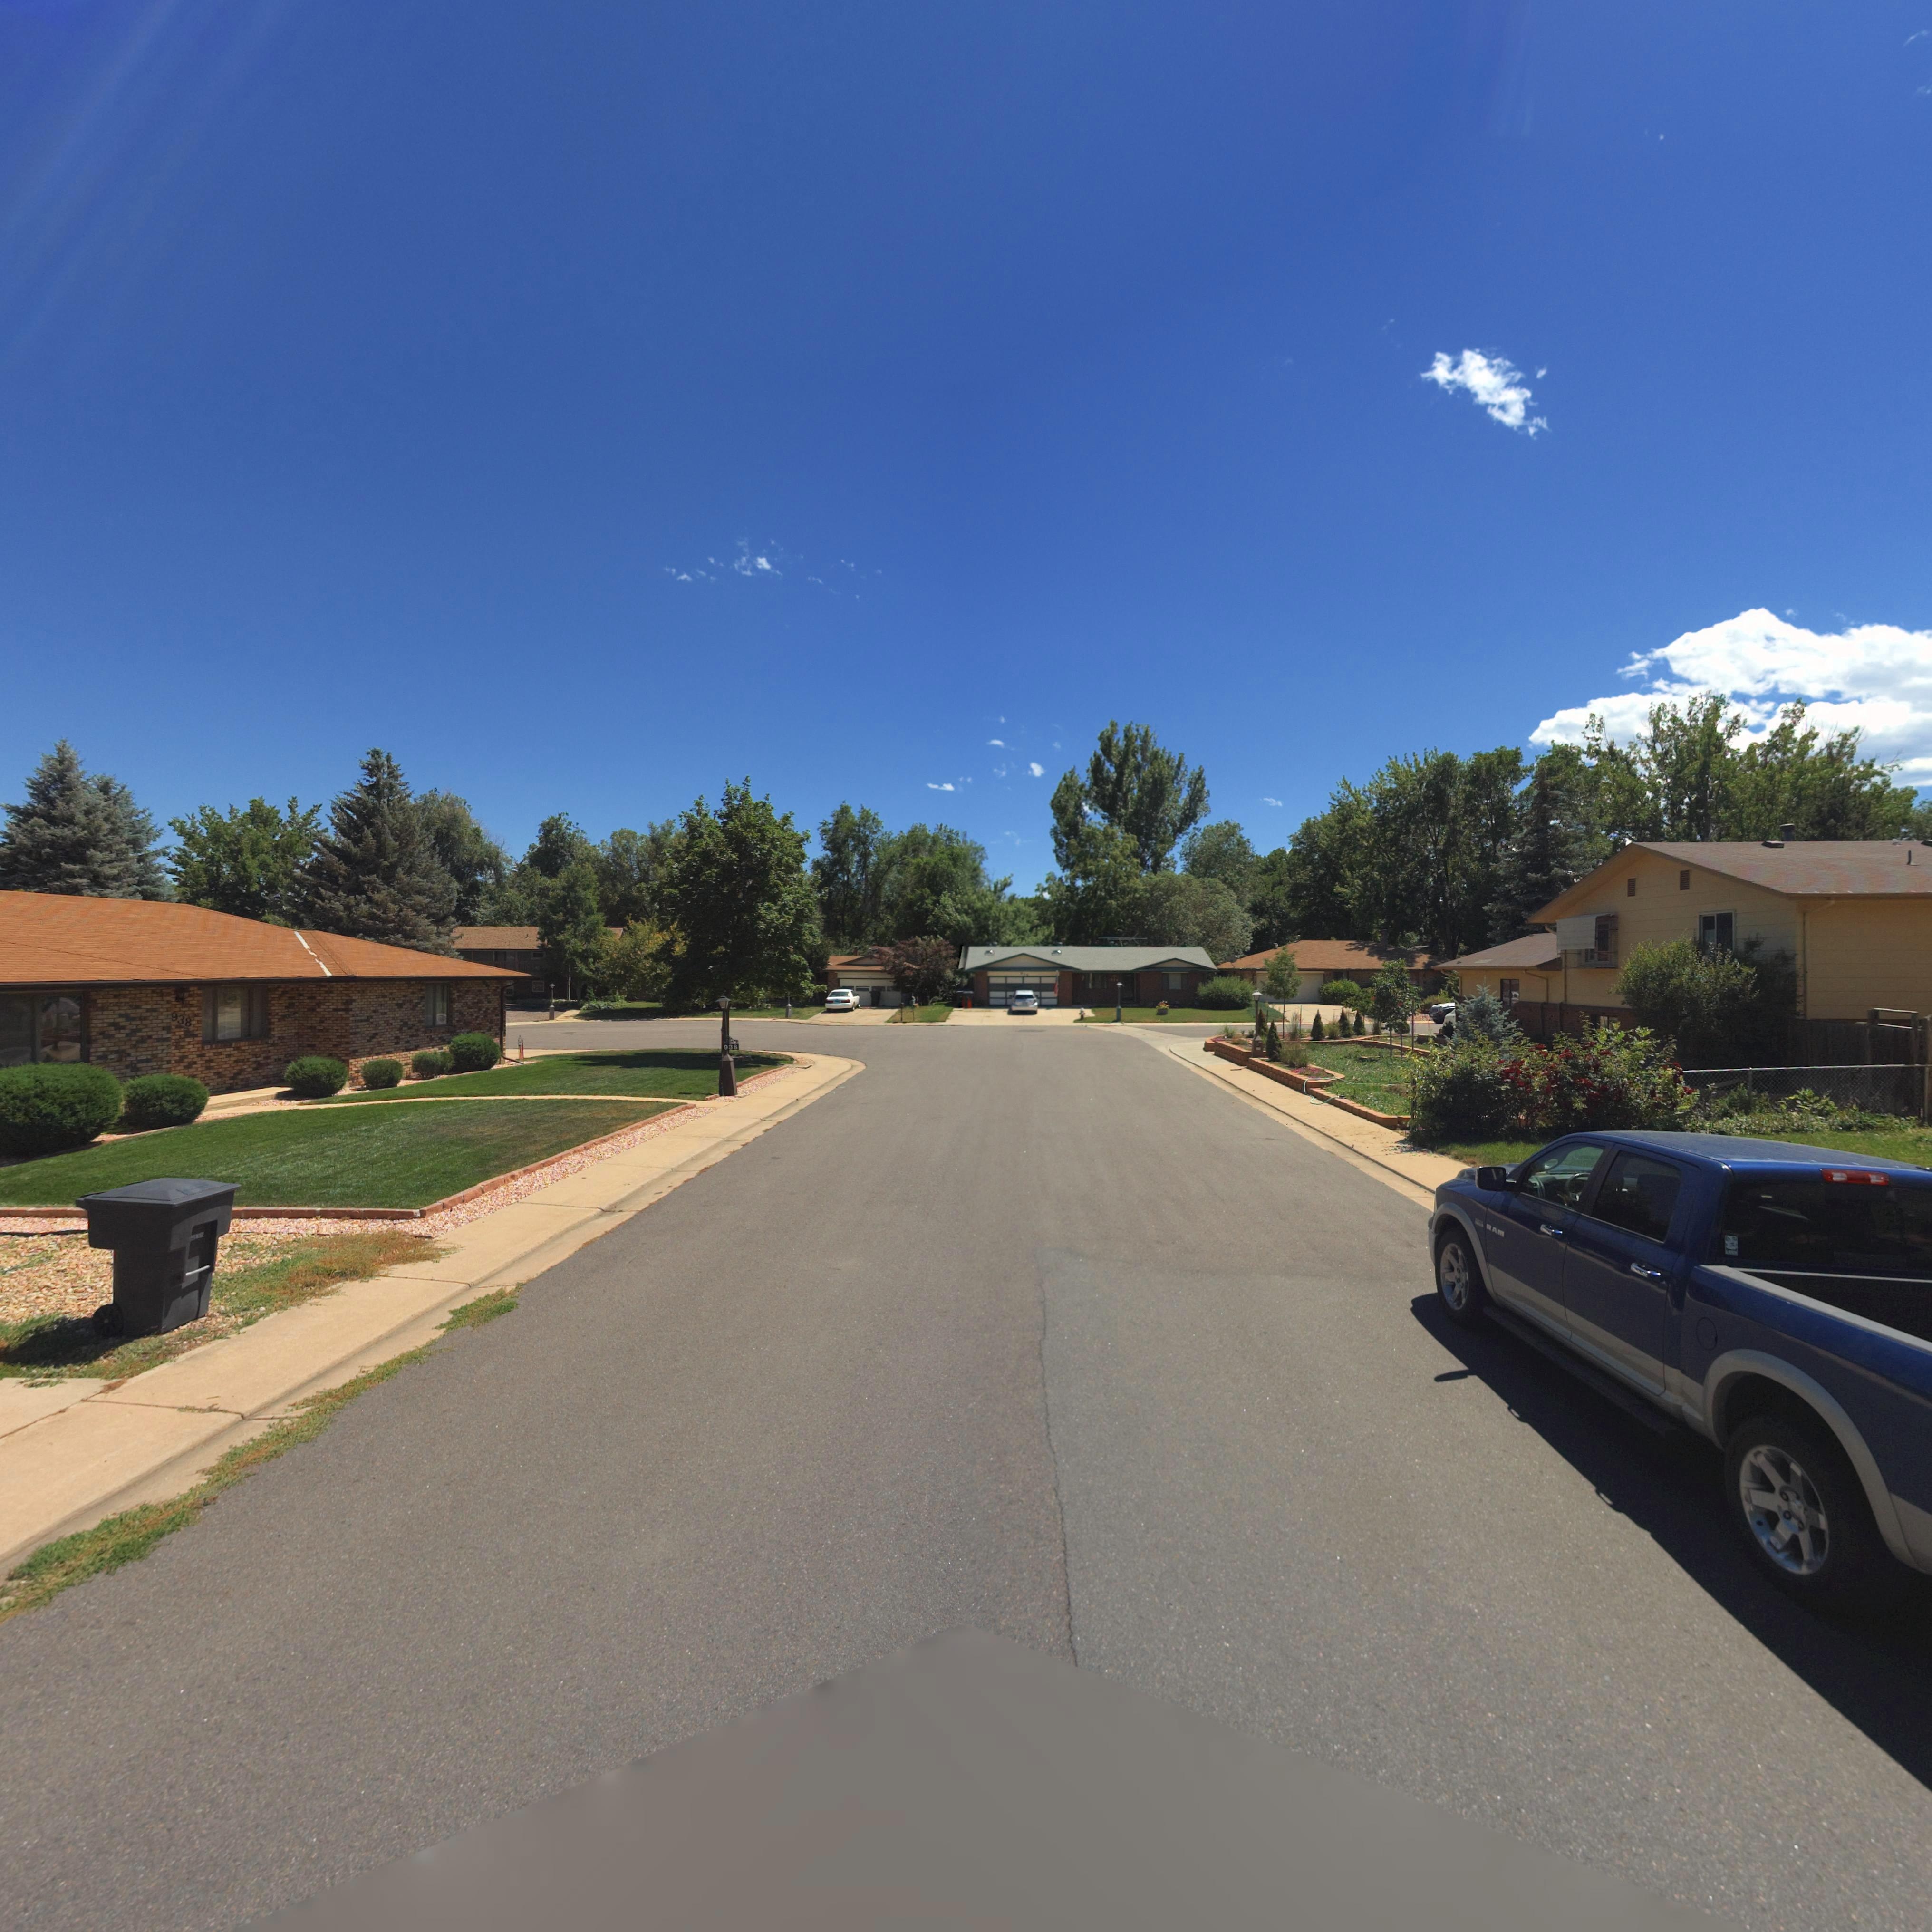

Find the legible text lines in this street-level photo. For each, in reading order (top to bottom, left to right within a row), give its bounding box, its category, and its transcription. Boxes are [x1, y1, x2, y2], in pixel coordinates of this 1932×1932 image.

[171, 1011, 192, 1027] StreetNumber: 938
[724, 1044, 737, 1050] StreetNumber: 938